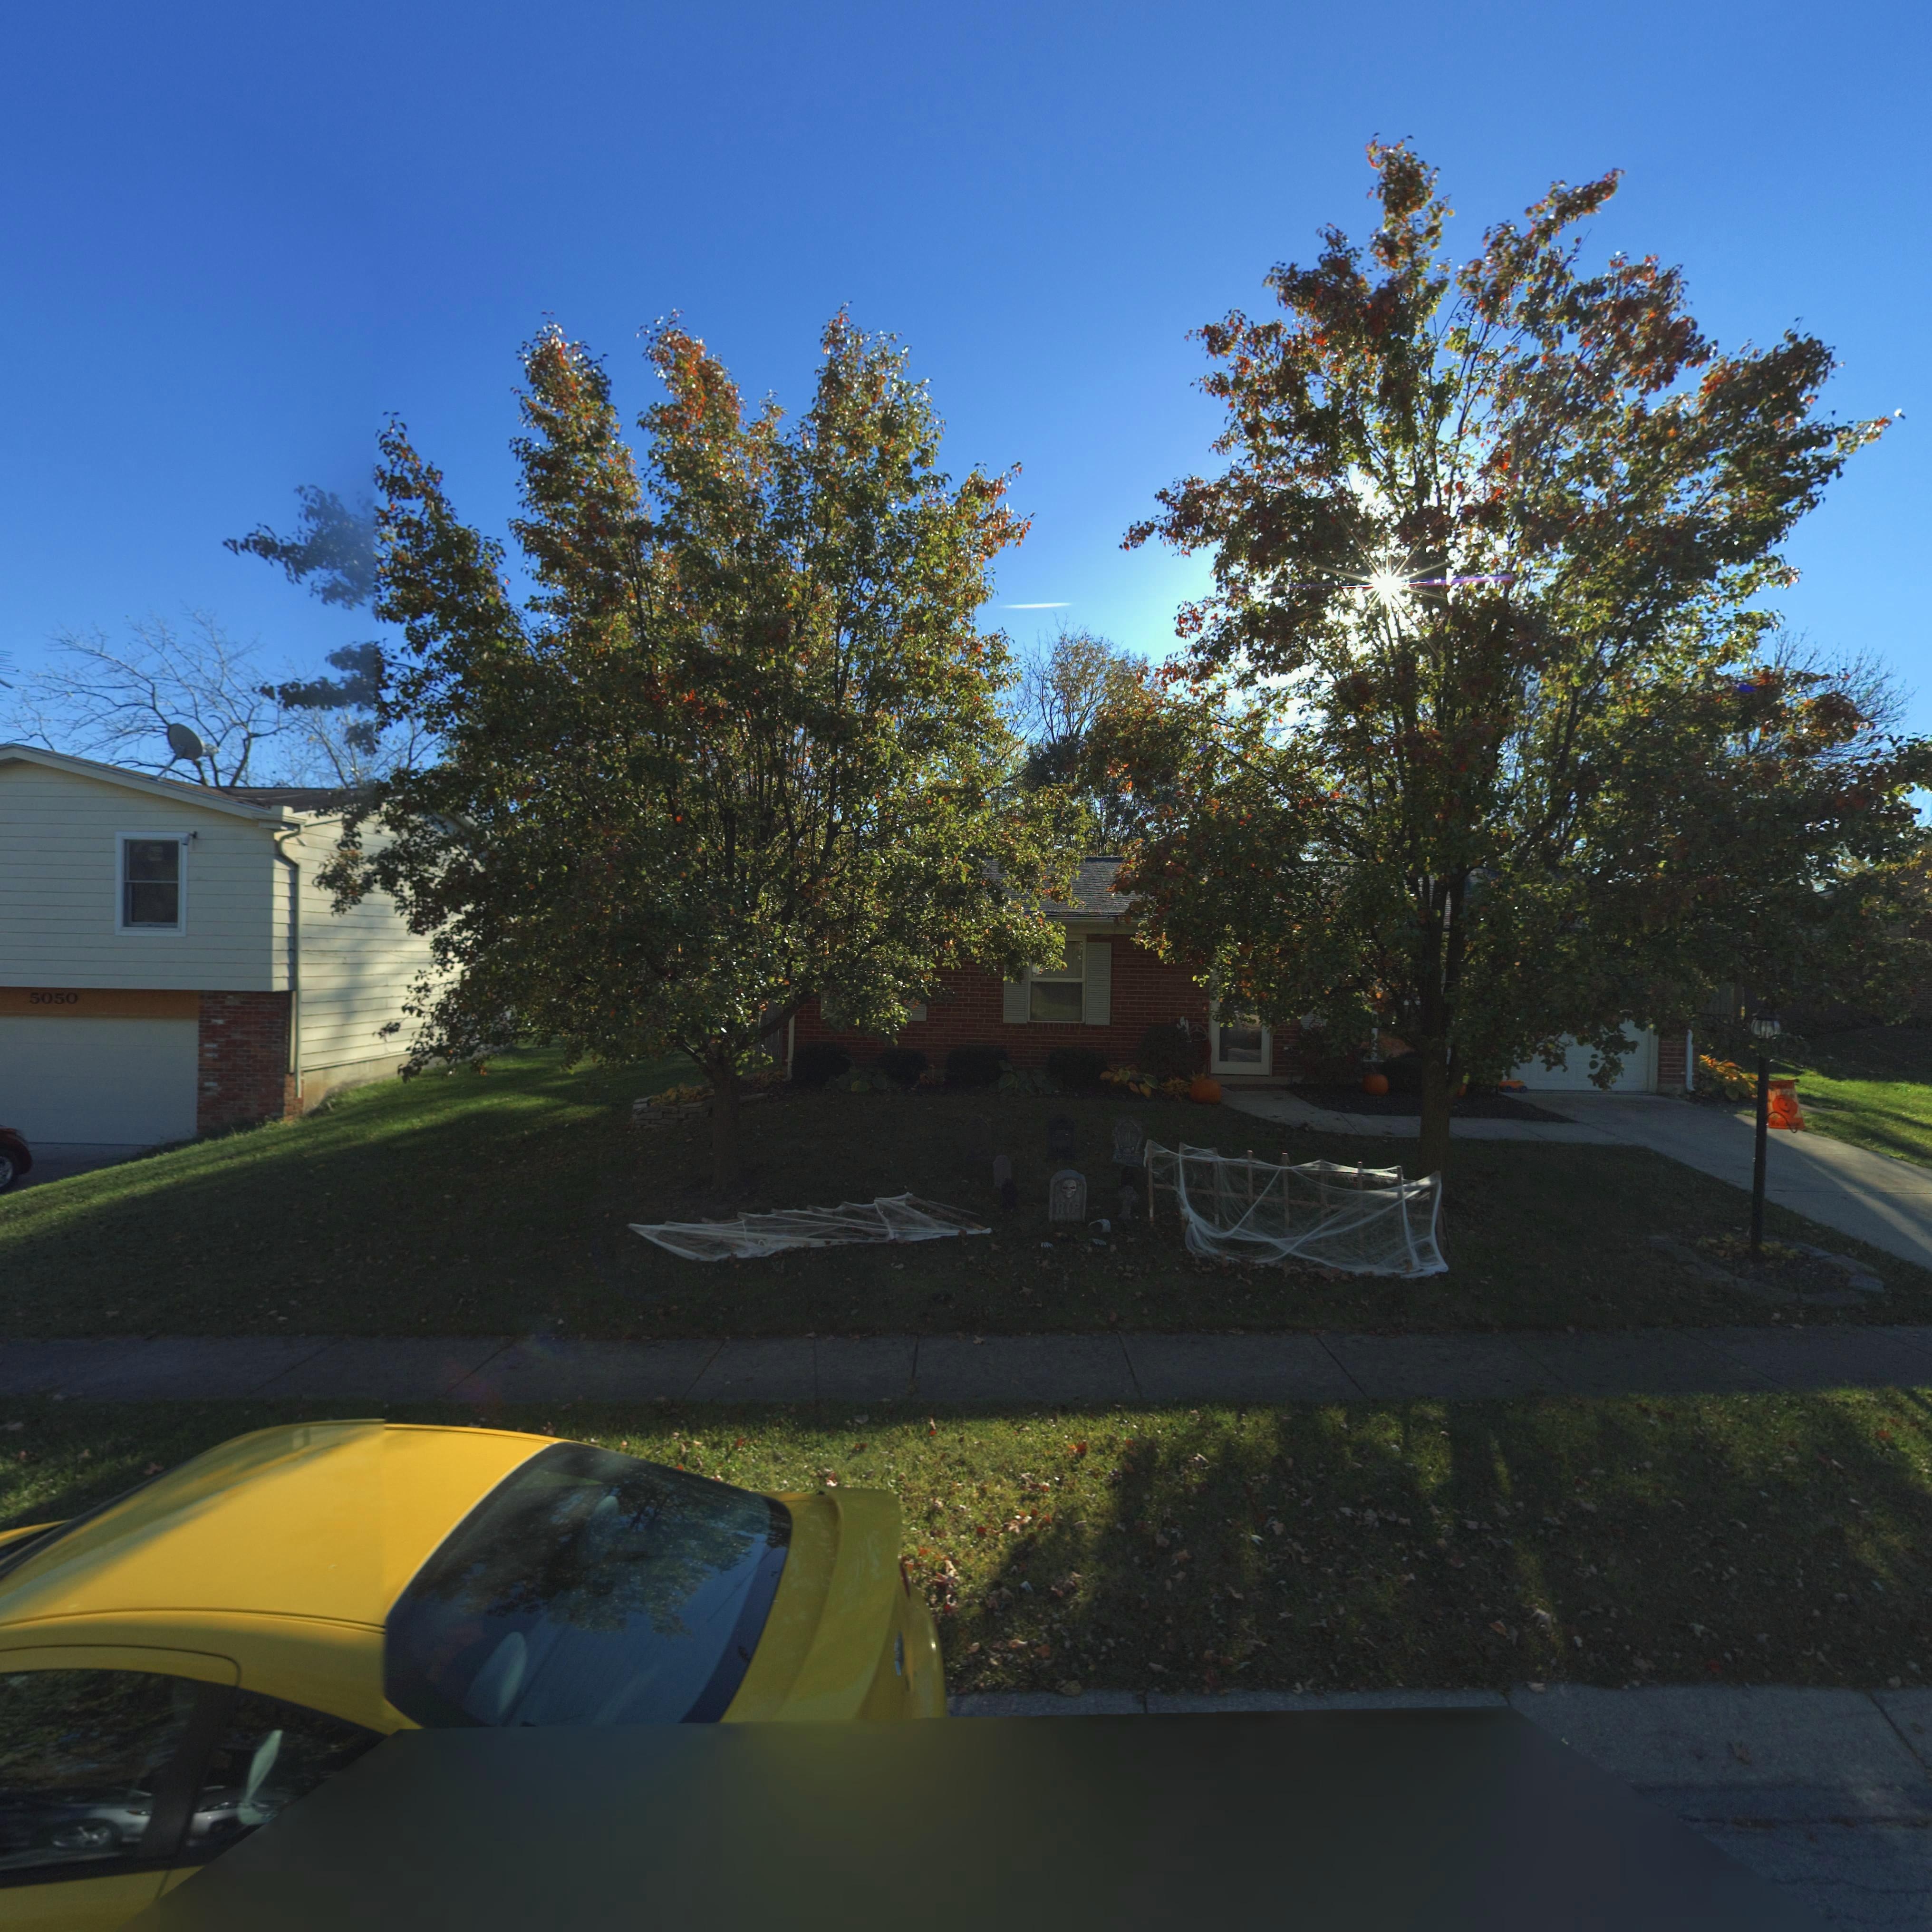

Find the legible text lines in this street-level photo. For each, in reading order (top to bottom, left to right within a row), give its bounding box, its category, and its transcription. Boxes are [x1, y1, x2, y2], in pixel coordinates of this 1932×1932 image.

[29, 991, 78, 1005] StreetNumber: 5050